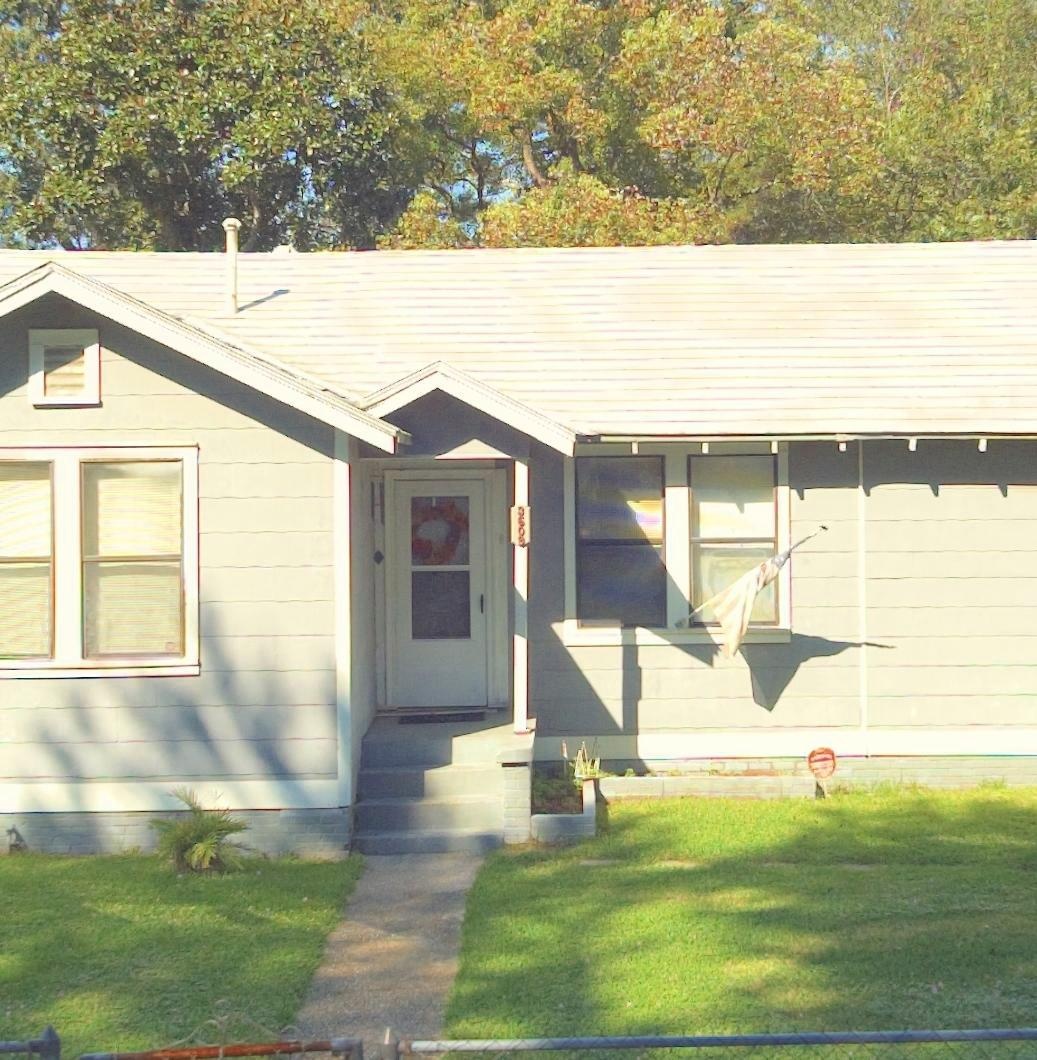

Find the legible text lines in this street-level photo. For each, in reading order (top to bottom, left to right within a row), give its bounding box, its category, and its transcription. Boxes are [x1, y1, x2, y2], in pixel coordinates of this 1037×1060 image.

[516, 505, 527, 549] StreetNumber: 3609